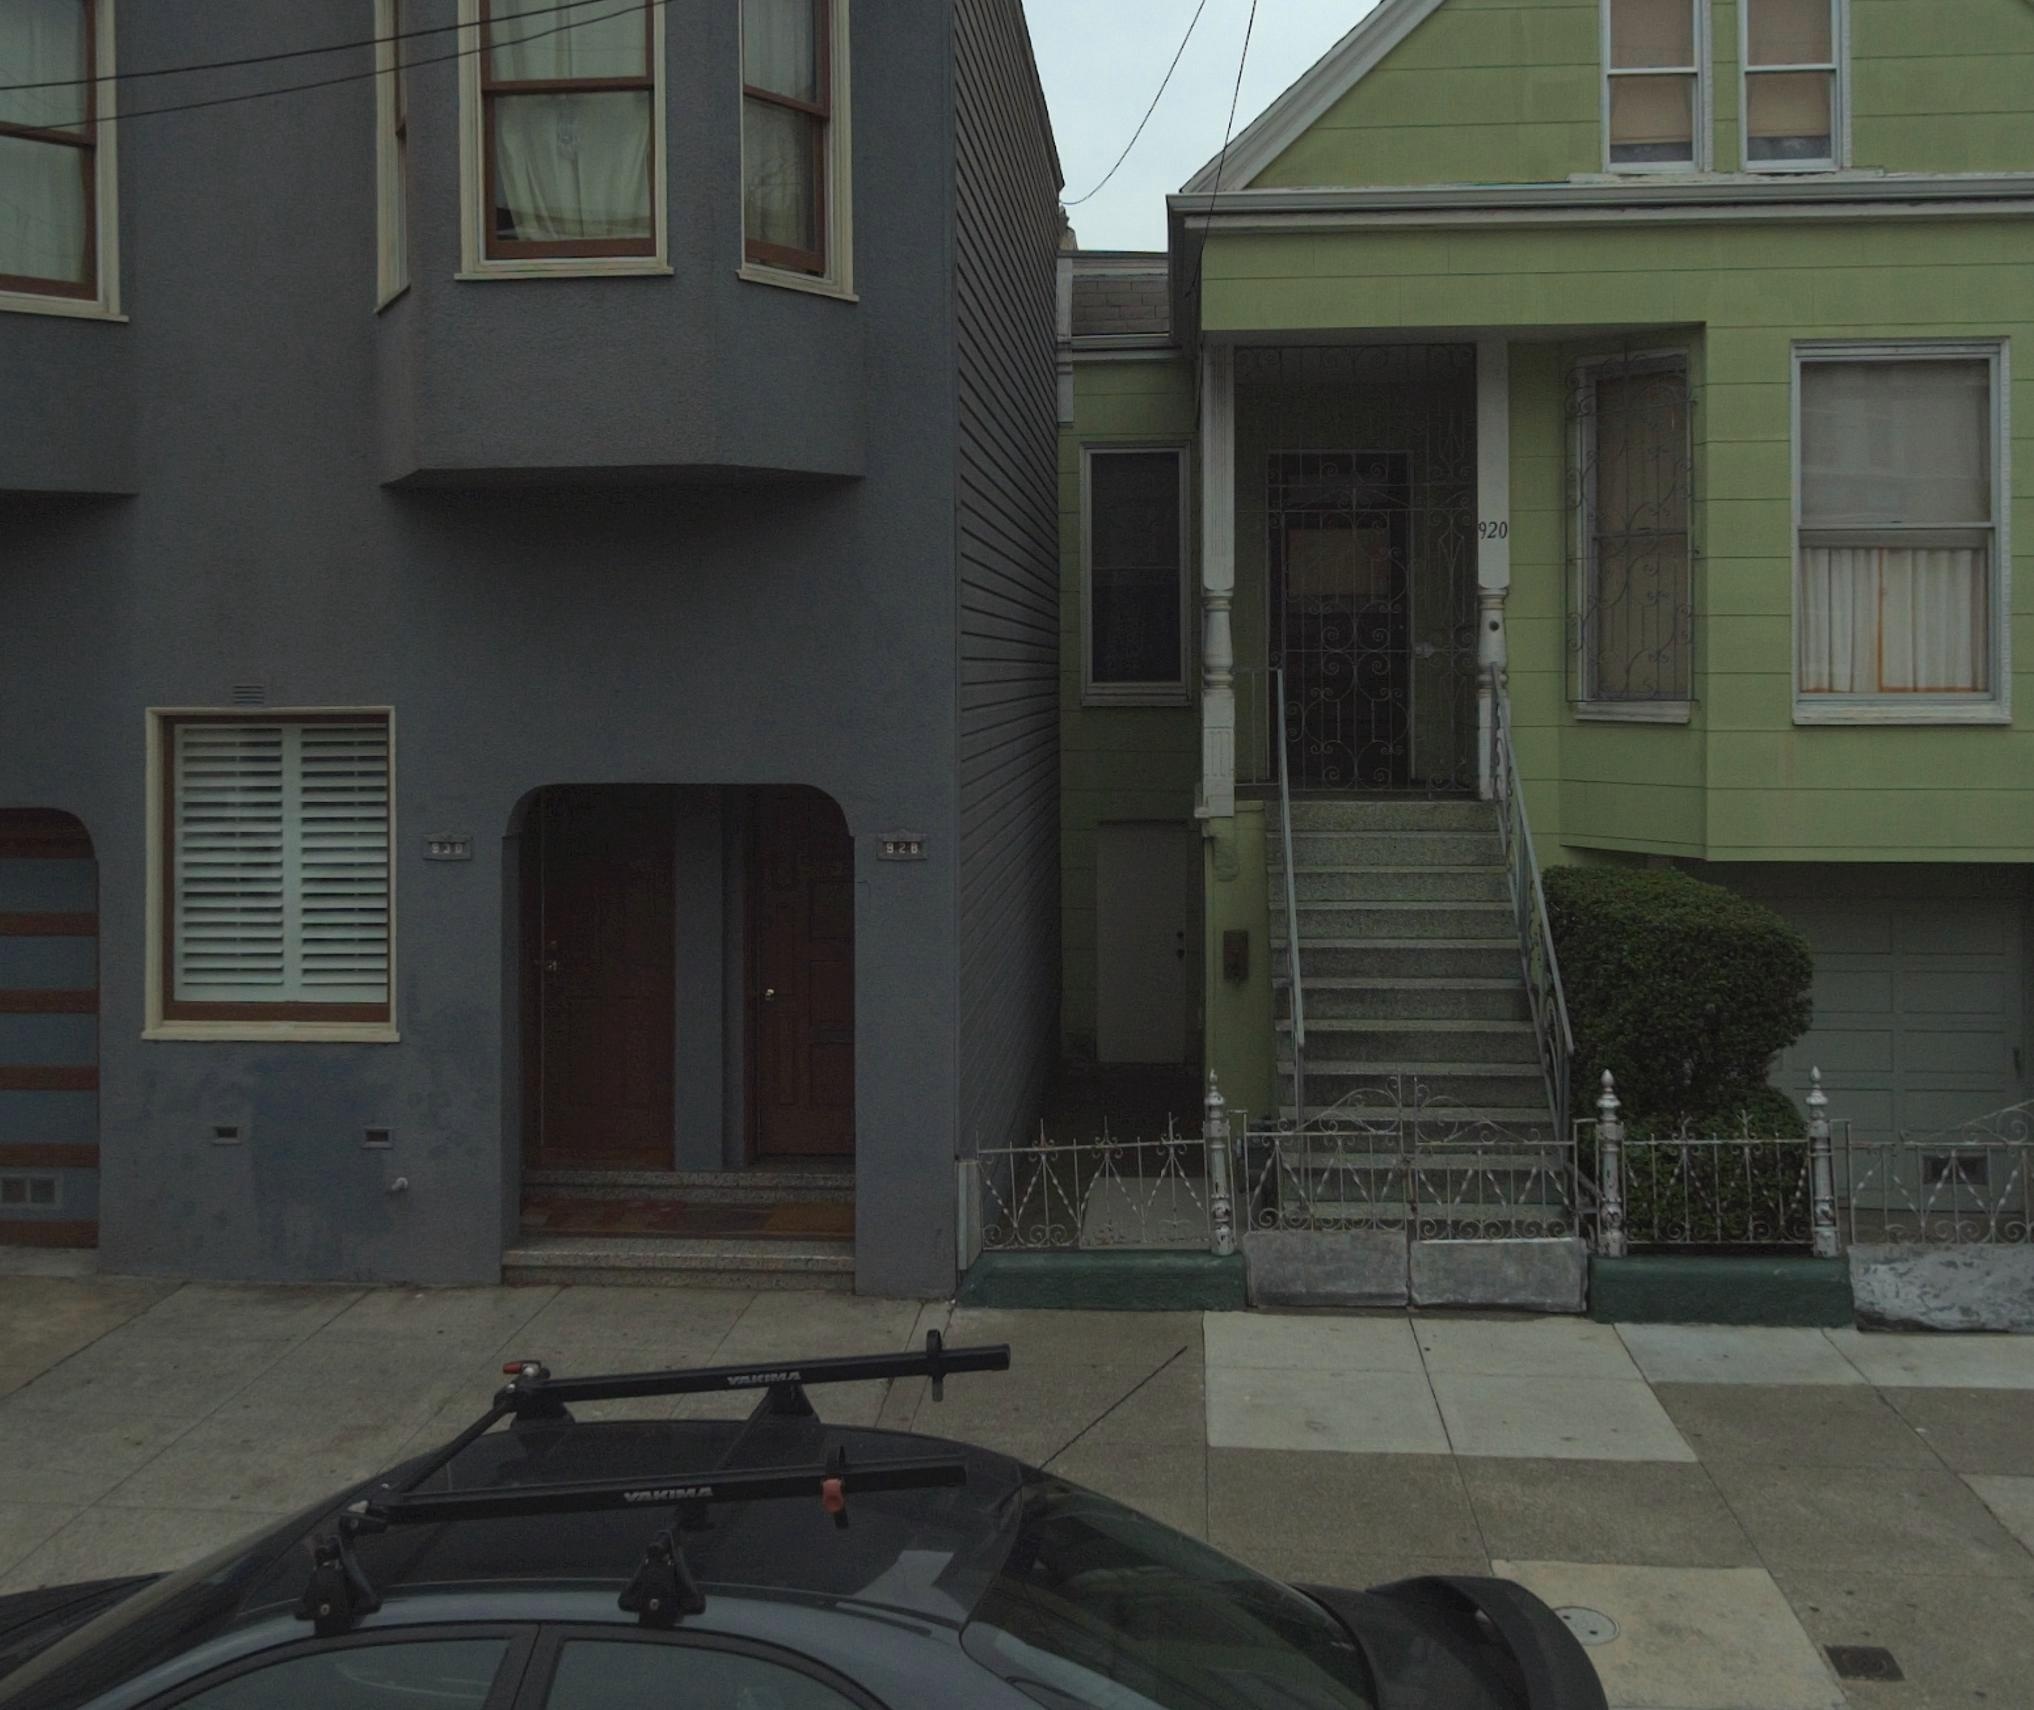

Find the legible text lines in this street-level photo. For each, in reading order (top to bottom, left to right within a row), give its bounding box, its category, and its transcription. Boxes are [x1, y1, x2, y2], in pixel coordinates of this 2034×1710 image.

[1477, 519, 1510, 541] StreetNumber: 920
[430, 842, 466, 855] StreetNumber: 930
[883, 841, 921, 854] StreetNumber: 928
[725, 1370, 805, 1387] None: YAKIMA
[622, 1486, 717, 1504] None: YAKIMA